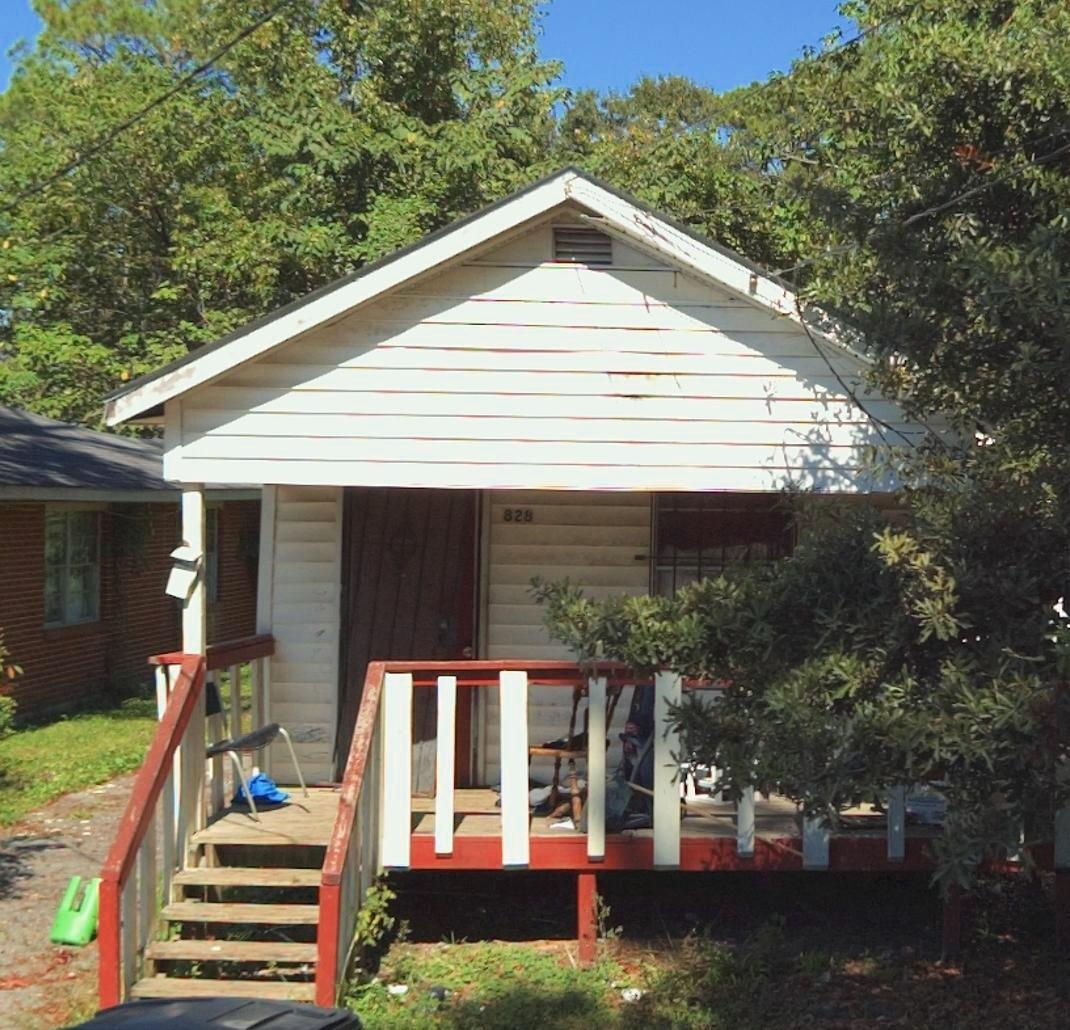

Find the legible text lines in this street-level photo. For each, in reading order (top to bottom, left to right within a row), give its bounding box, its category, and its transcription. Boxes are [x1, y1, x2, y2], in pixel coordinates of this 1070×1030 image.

[503, 507, 534, 523] StreetNumber: 828